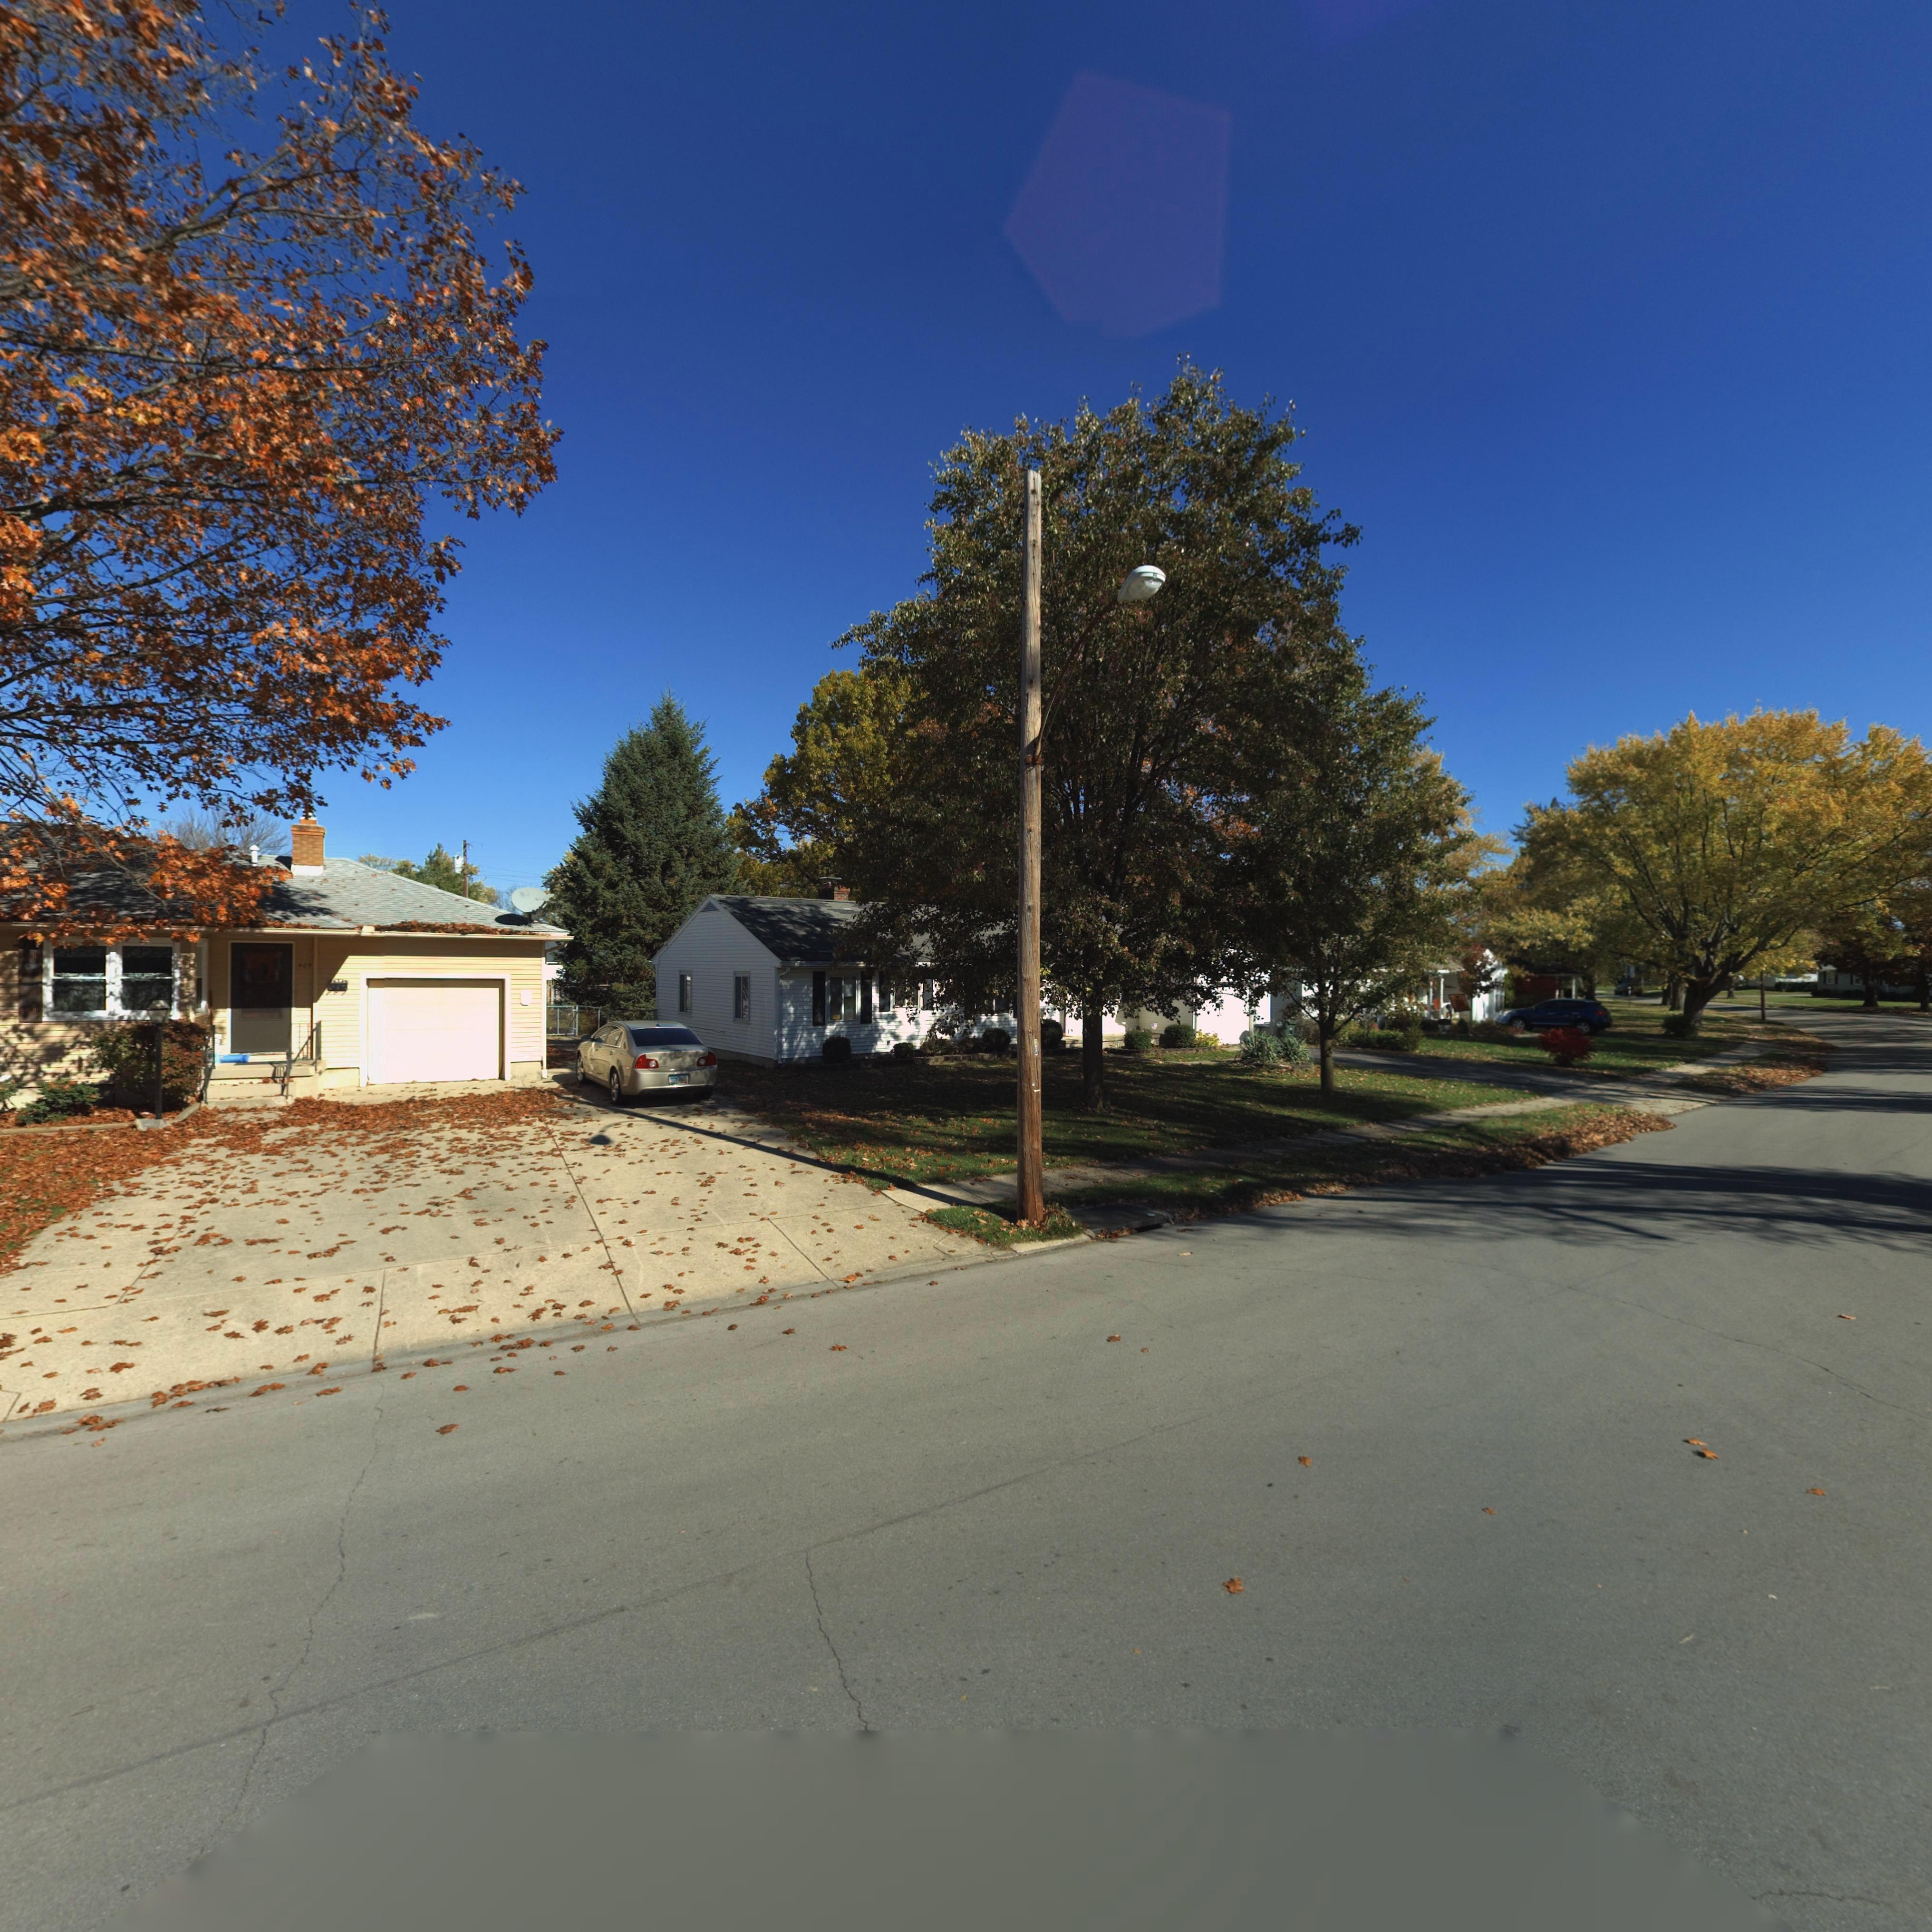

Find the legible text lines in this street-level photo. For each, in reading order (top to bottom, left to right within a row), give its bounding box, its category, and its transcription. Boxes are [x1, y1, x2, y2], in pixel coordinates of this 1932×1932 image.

[298, 962, 312, 968] StreetNumber: 405